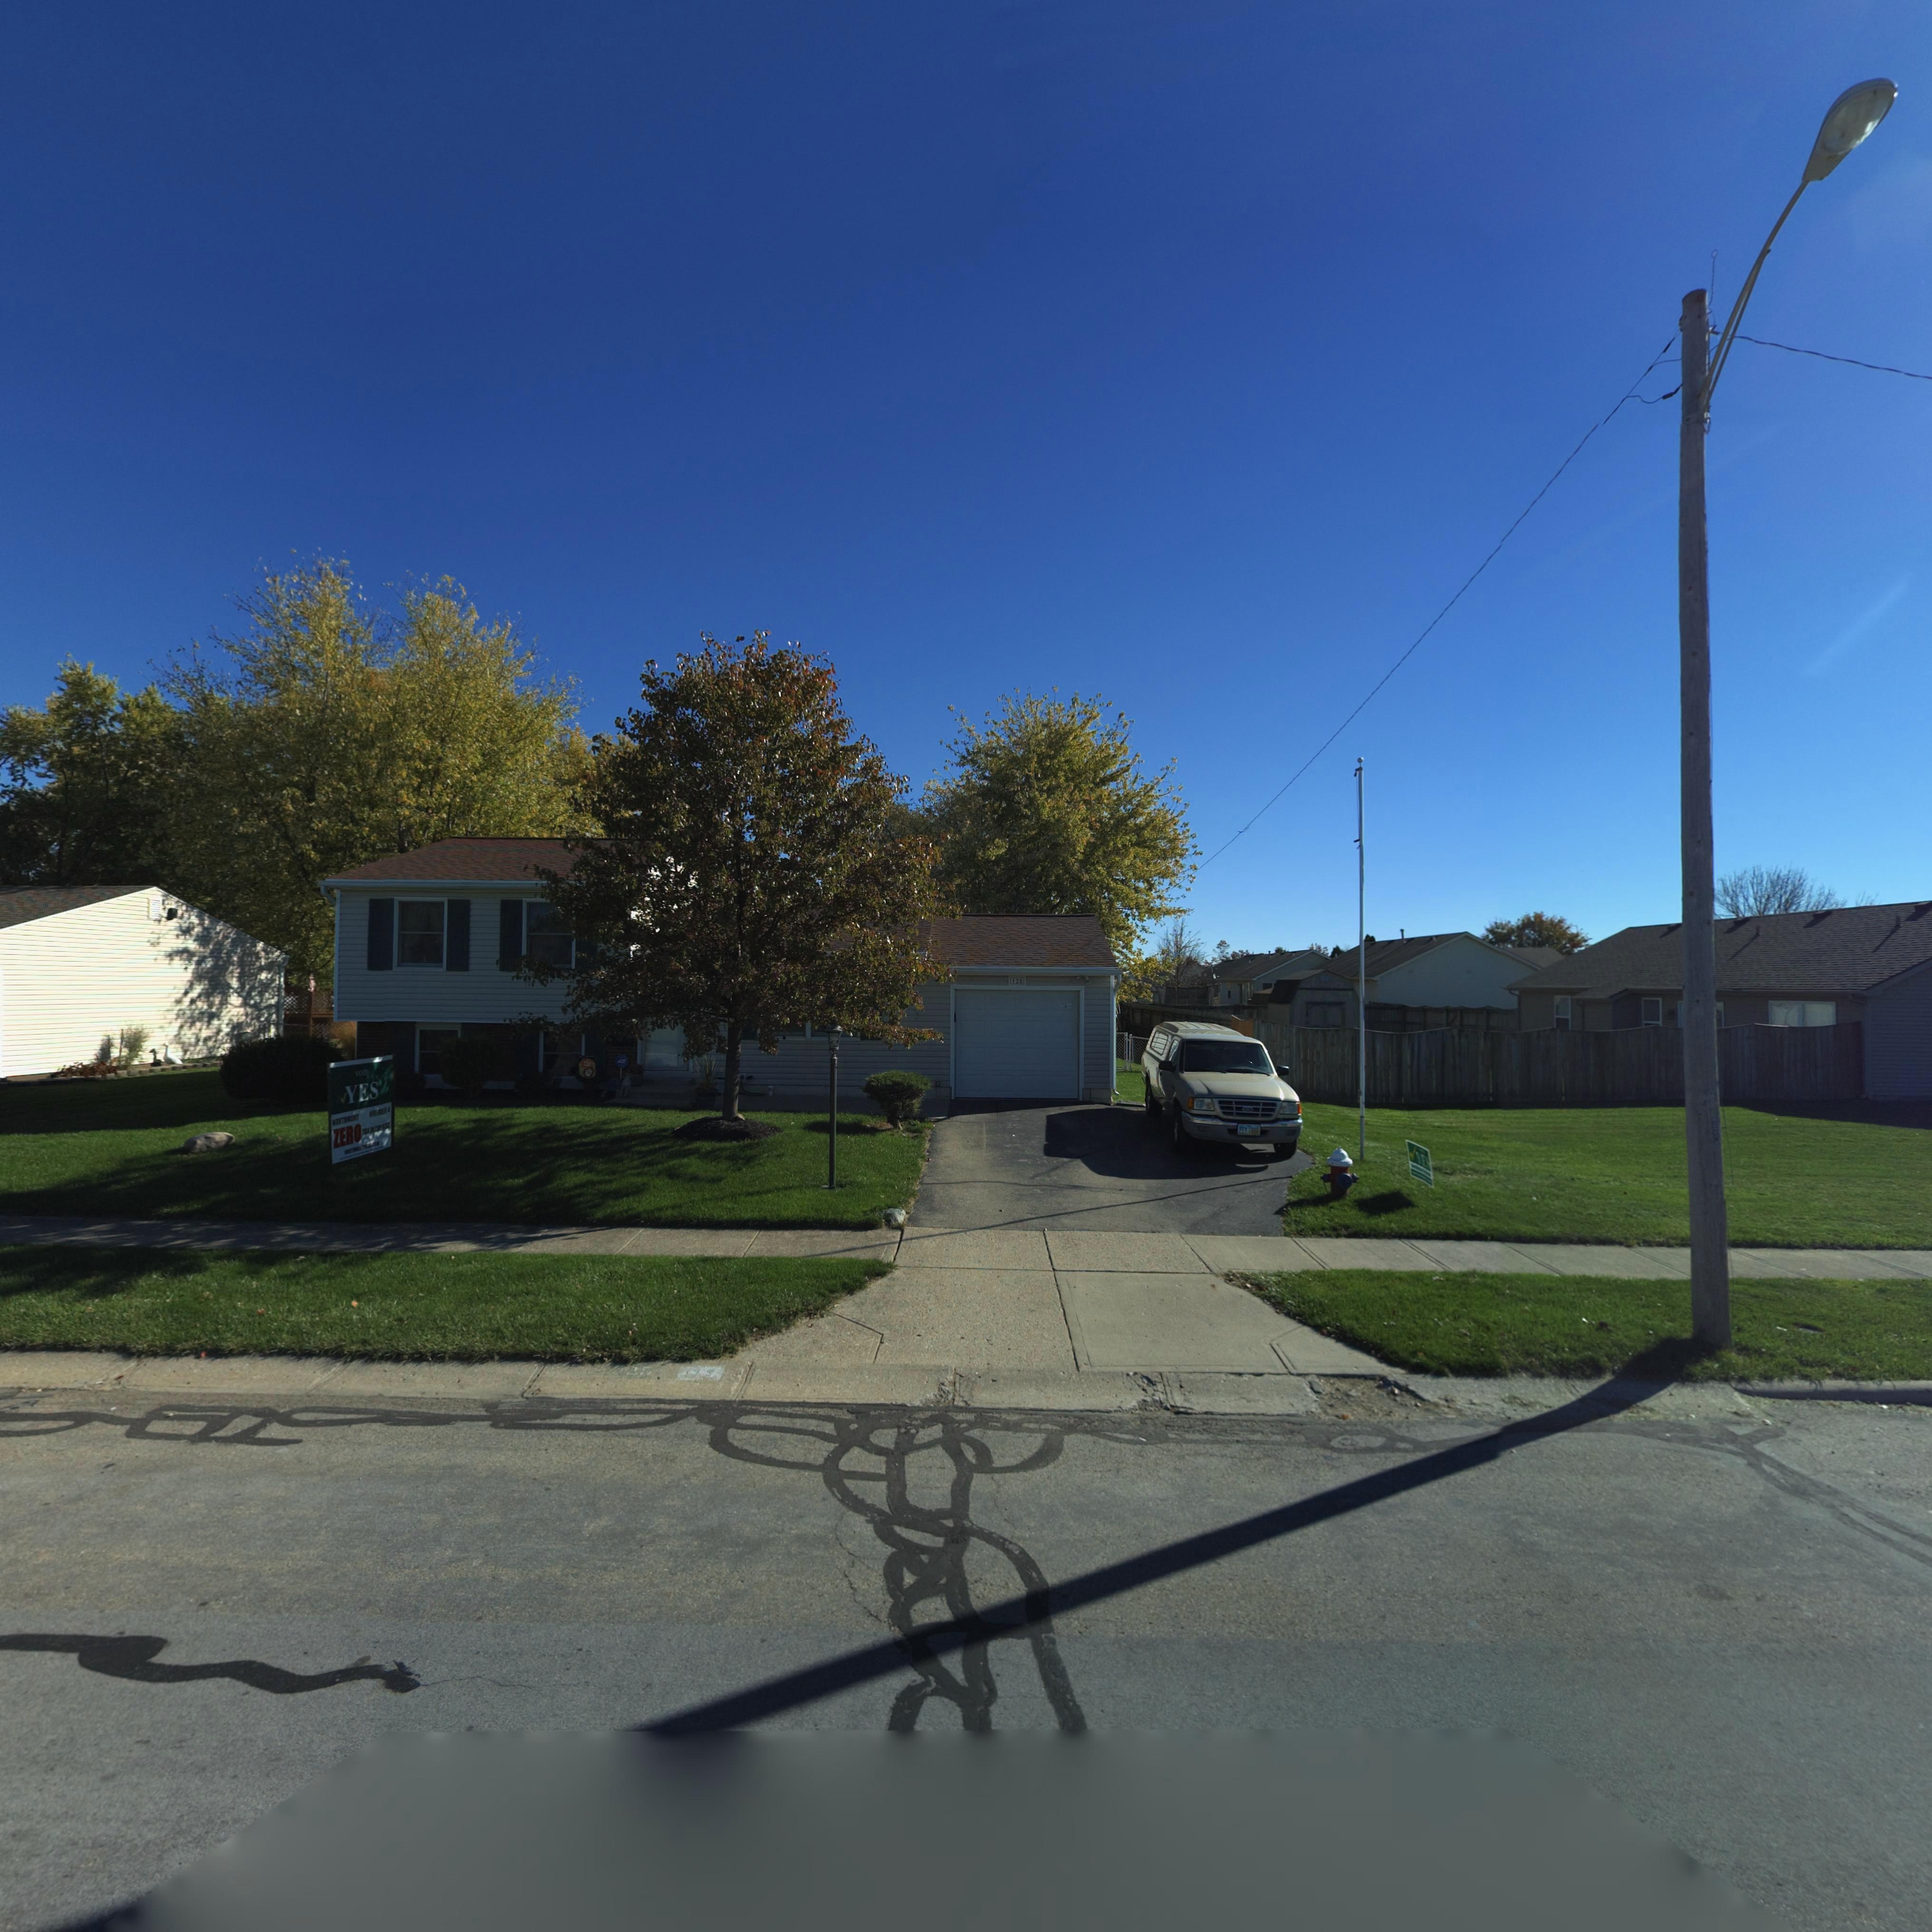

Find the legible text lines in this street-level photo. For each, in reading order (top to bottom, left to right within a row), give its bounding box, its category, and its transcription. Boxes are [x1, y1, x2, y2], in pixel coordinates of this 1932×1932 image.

[1012, 978, 1023, 984] StreetNumber: 125
[344, 1081, 379, 1104] None: YES
[331, 1122, 363, 1151] None: ZERO
[1238, 1126, 1259, 1135] None: FE* ****
[1415, 1151, 1430, 1171] None: YES
[683, 1367, 717, 1379] StreetNumber: 12*